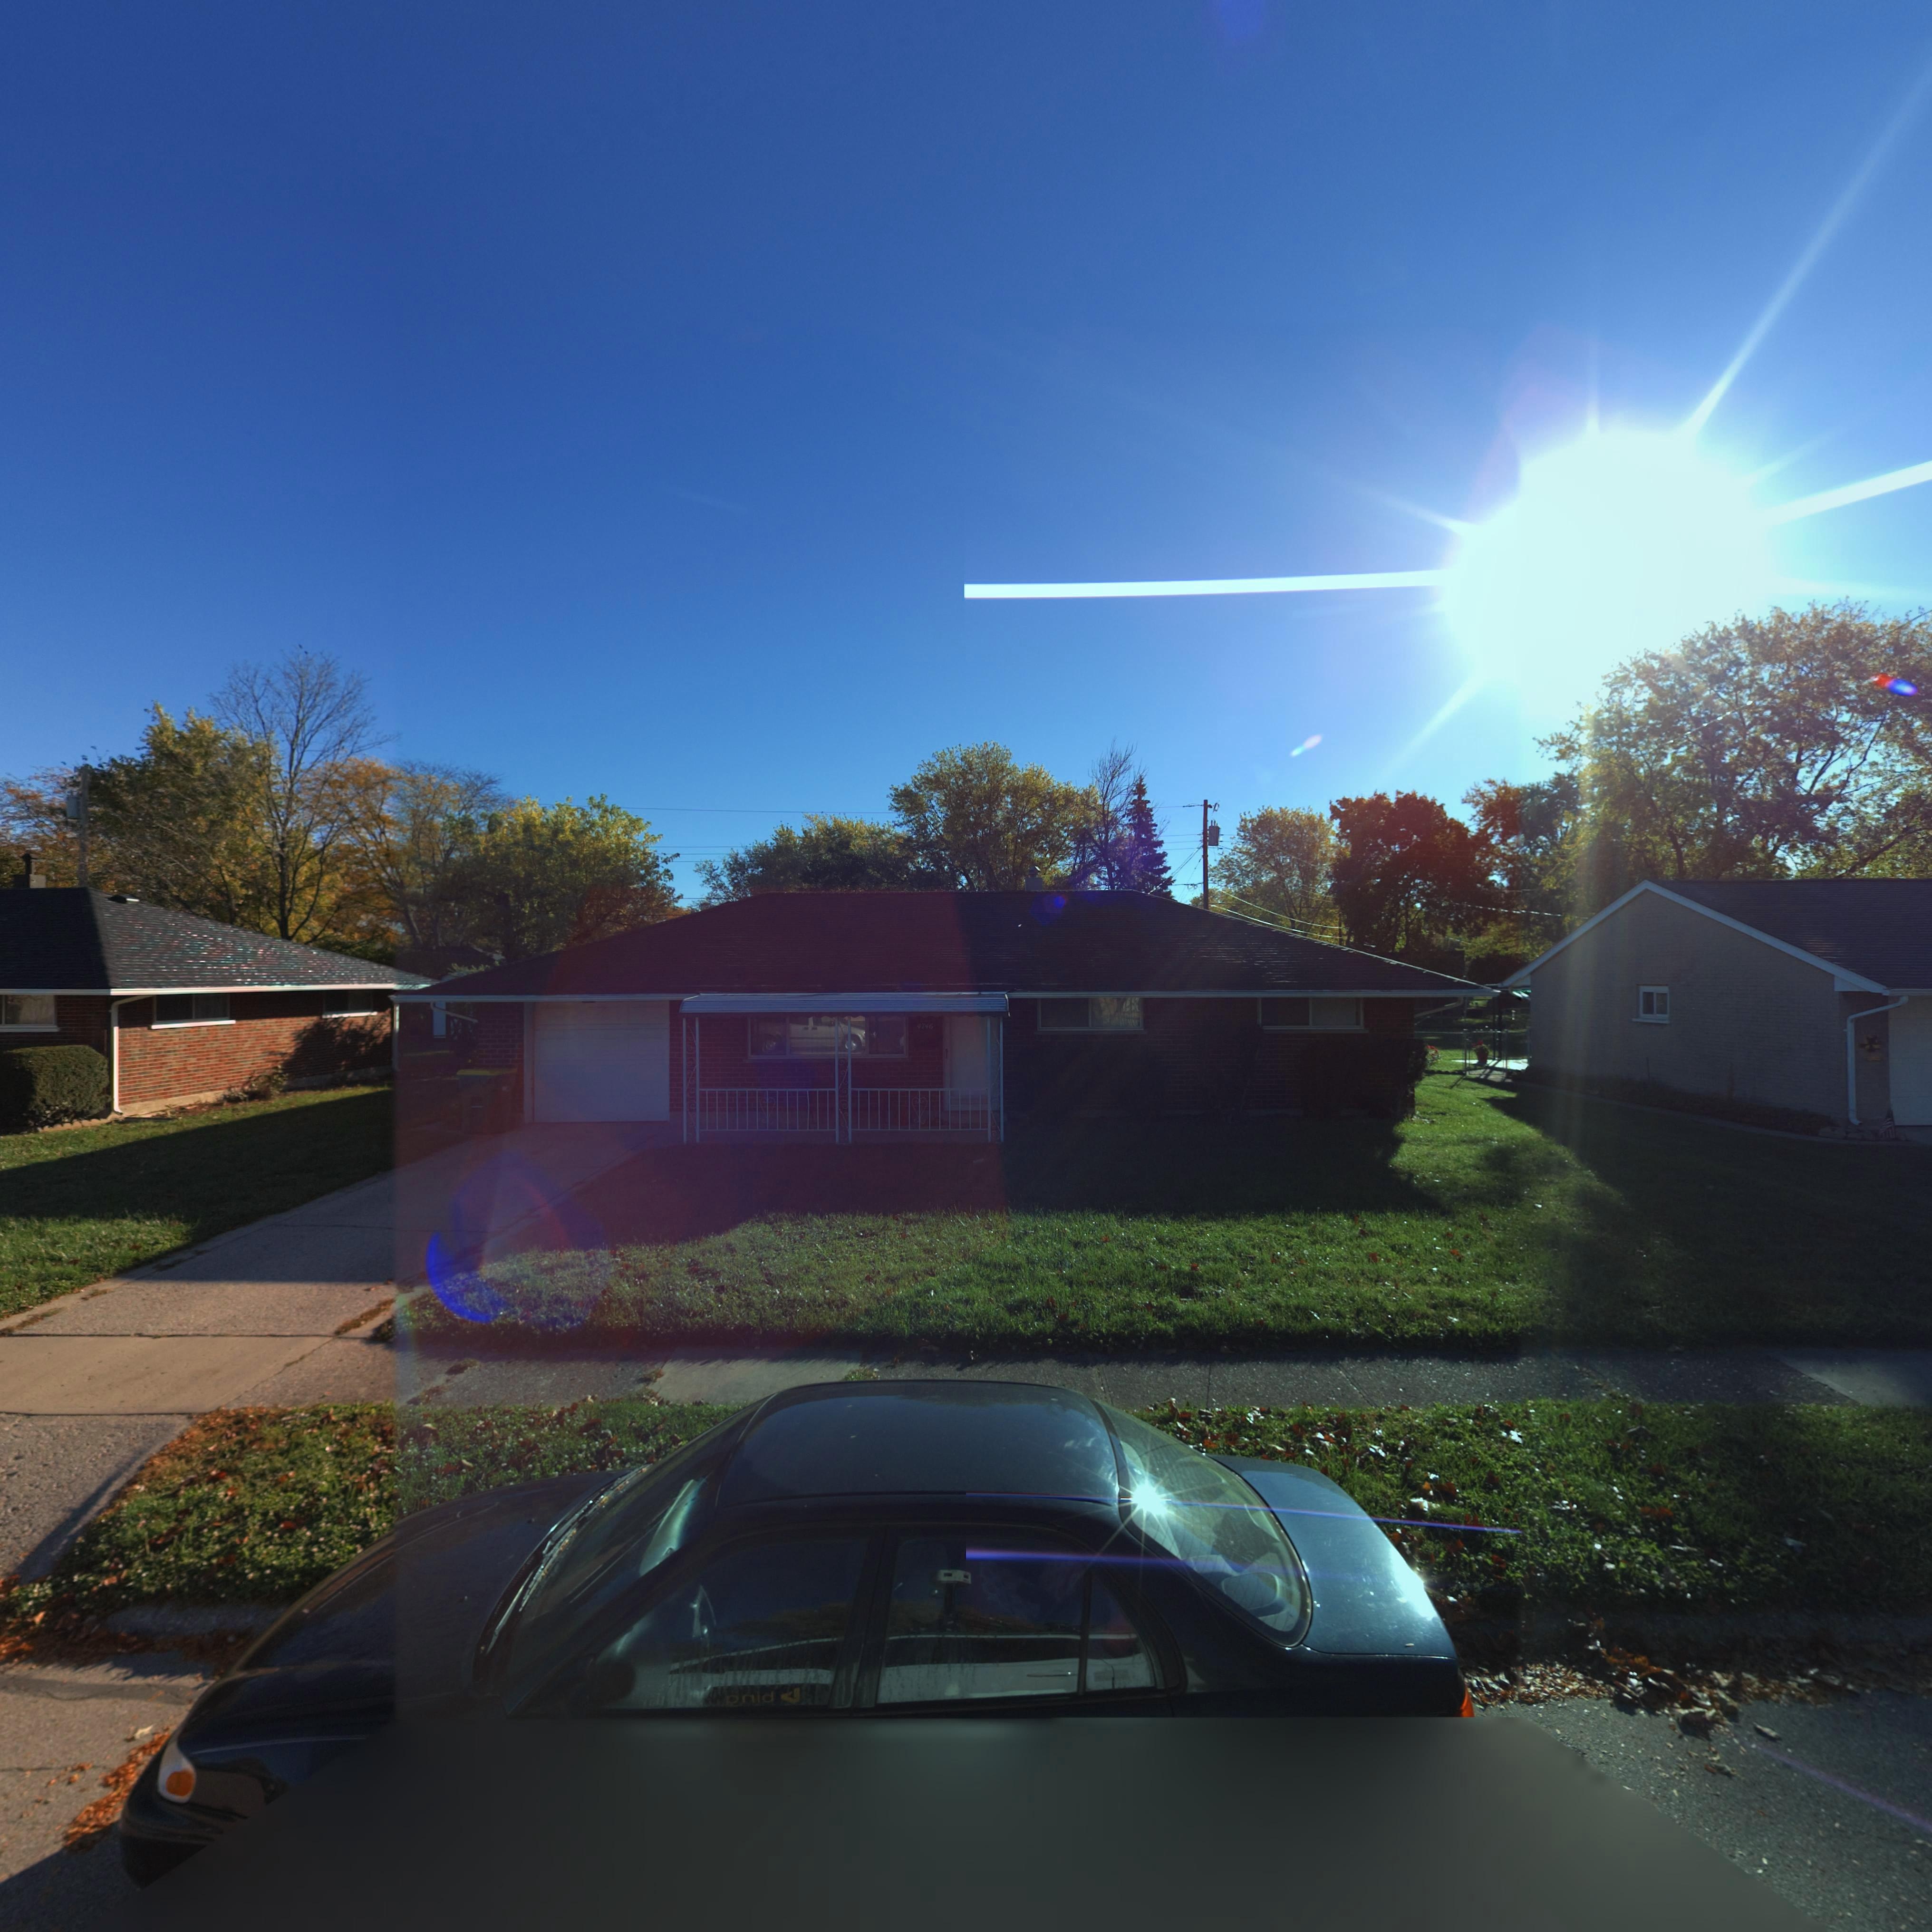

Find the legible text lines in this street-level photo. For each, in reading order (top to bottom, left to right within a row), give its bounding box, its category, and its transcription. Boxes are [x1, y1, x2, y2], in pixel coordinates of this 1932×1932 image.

[917, 1022, 934, 1029] StreetNumber: 4746